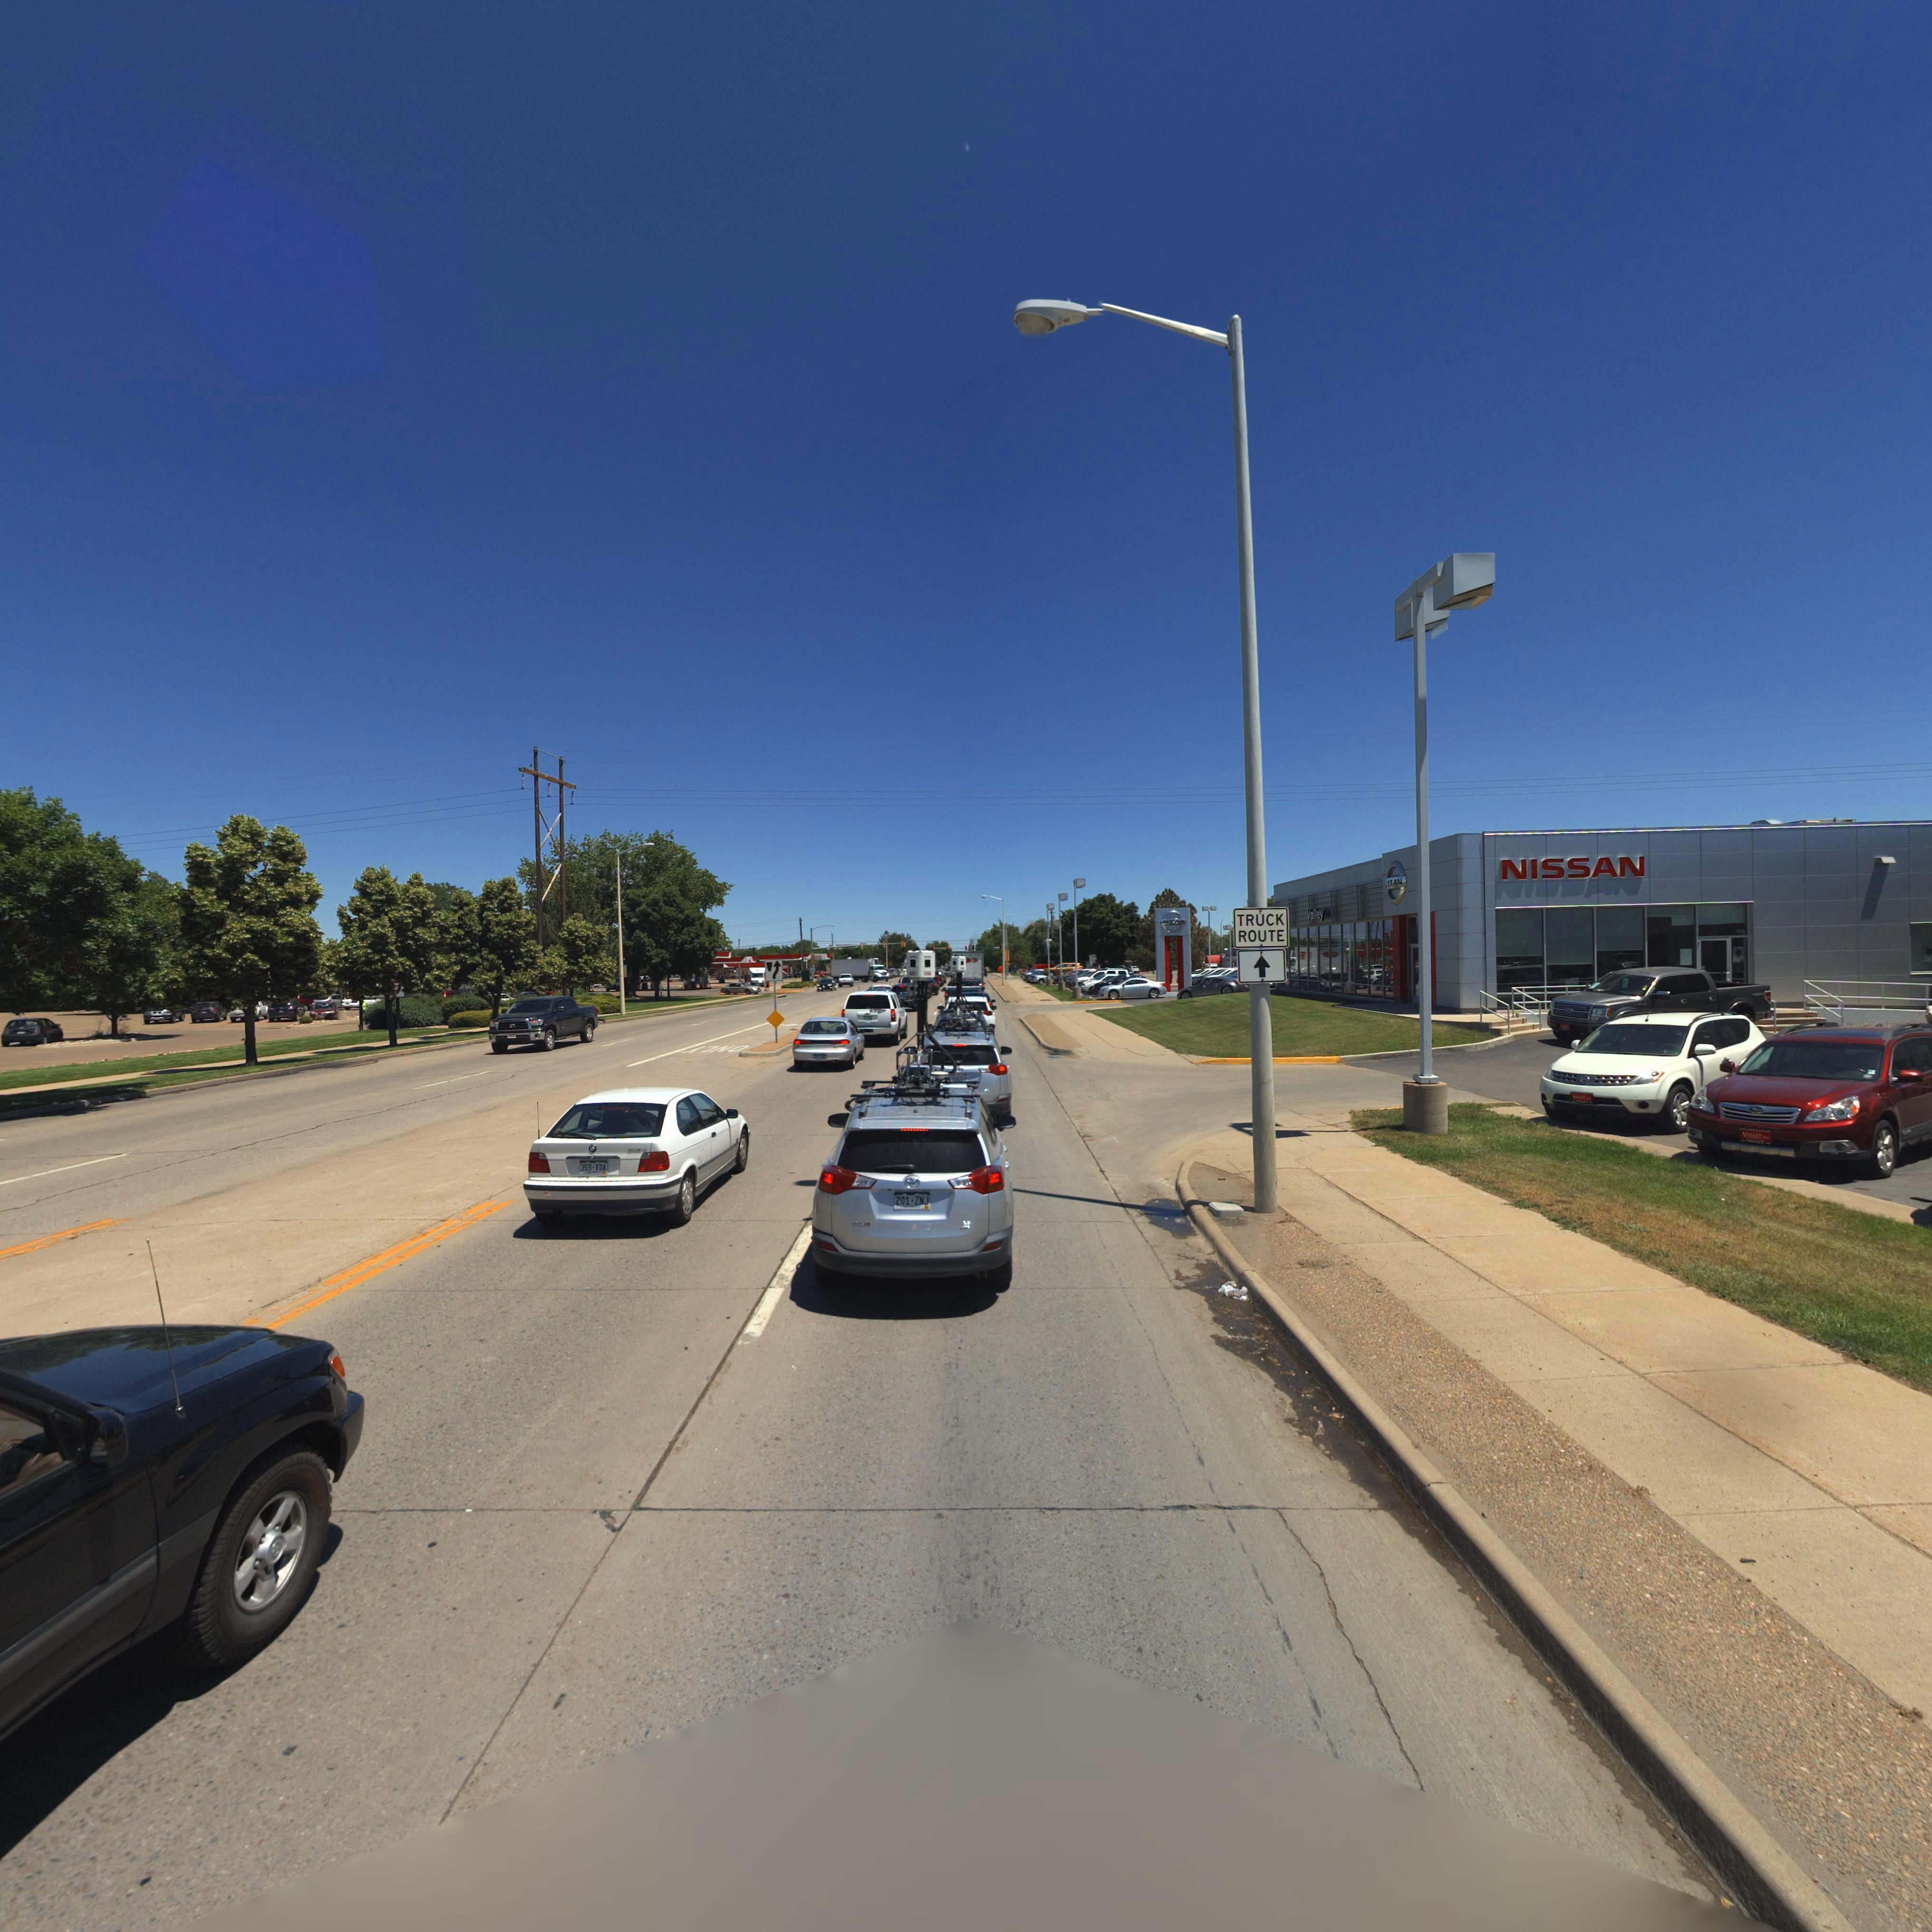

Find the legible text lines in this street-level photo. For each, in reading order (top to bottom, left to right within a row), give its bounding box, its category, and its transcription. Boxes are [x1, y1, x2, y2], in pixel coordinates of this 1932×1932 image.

[1501, 855, 1645, 880] BusinessName: NISSAN
[1387, 878, 1401, 886] BusinessName: SSAN
[1306, 908, 1324, 921] BusinessName: Valley
[1163, 919, 1184, 924] BusinessName: NISSAN